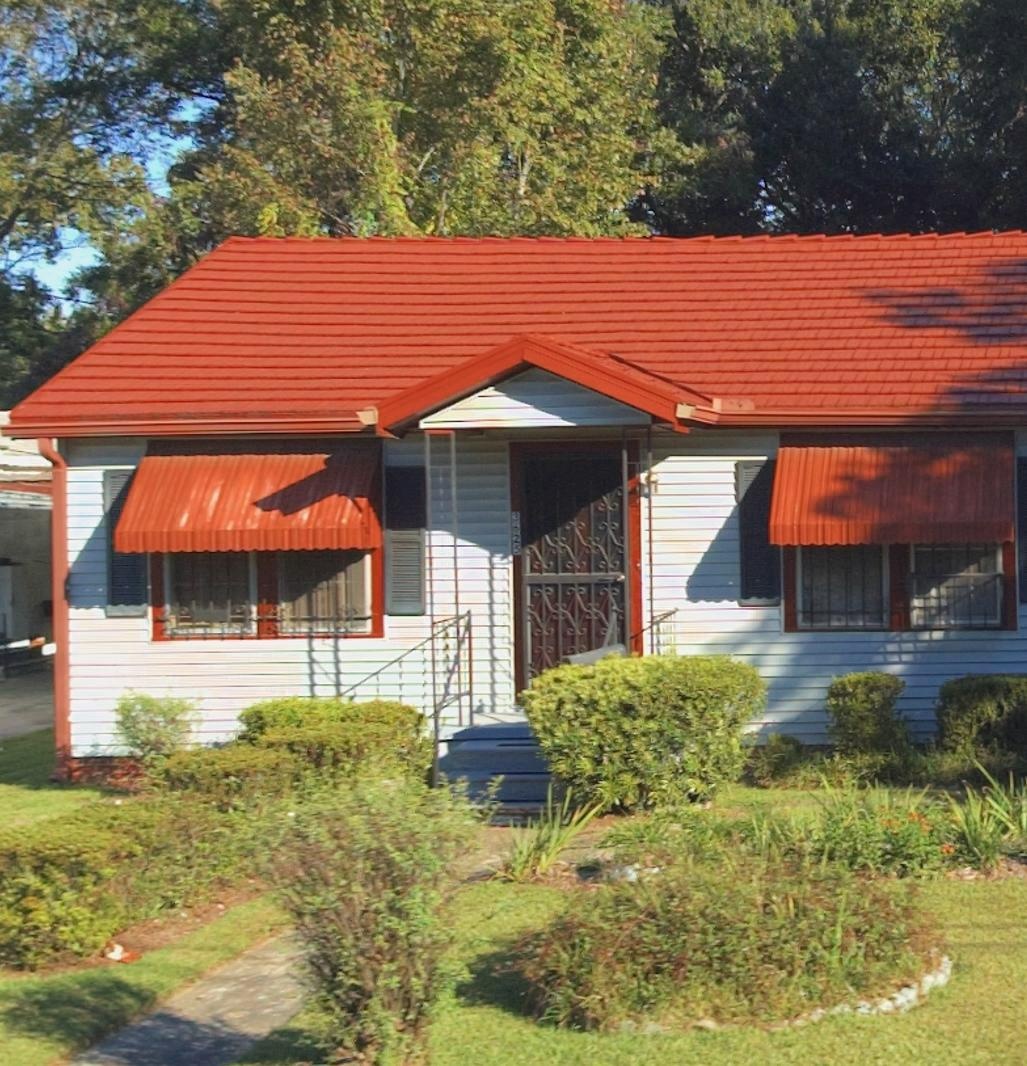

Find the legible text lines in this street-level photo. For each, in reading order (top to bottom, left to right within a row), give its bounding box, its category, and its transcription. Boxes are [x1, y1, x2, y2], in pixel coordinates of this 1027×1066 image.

[511, 510, 521, 557] StreetNumber: 3625